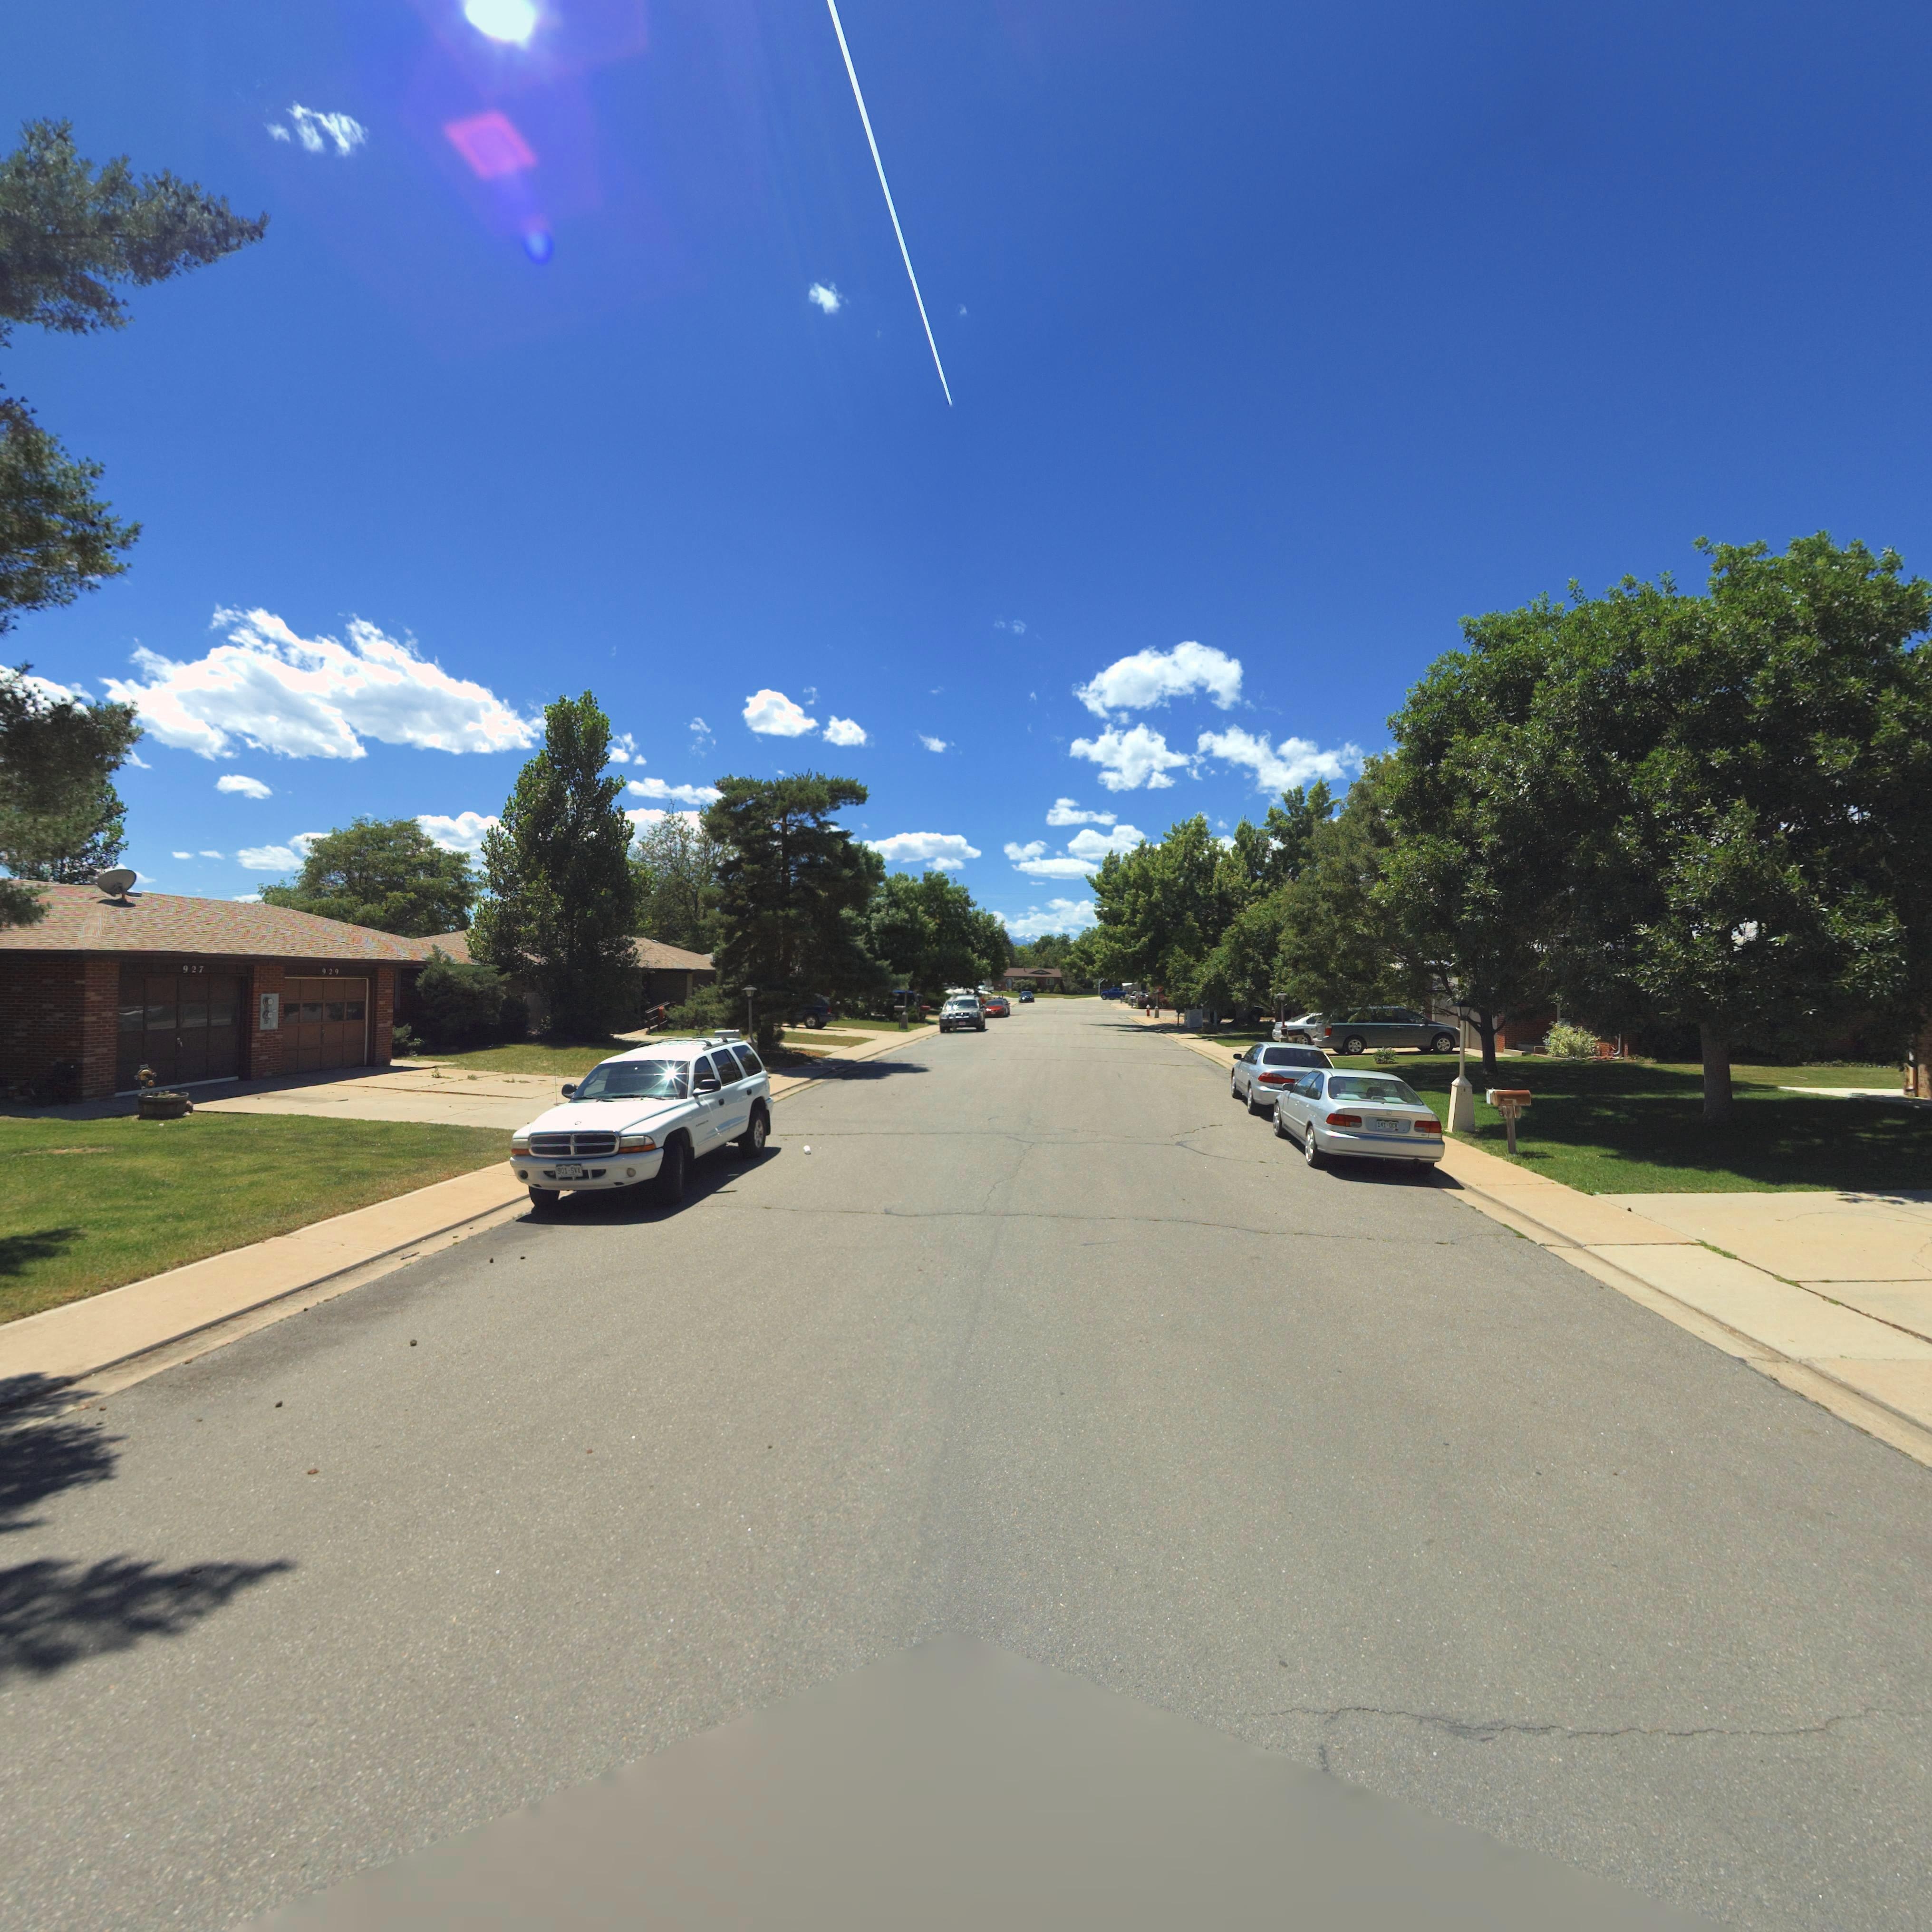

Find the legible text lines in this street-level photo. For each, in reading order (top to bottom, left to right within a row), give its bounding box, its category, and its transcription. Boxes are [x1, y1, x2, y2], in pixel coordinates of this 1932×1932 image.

[182, 965, 204, 973] StreetNumber: 927
[322, 967, 339, 975] StreetNumber: 929